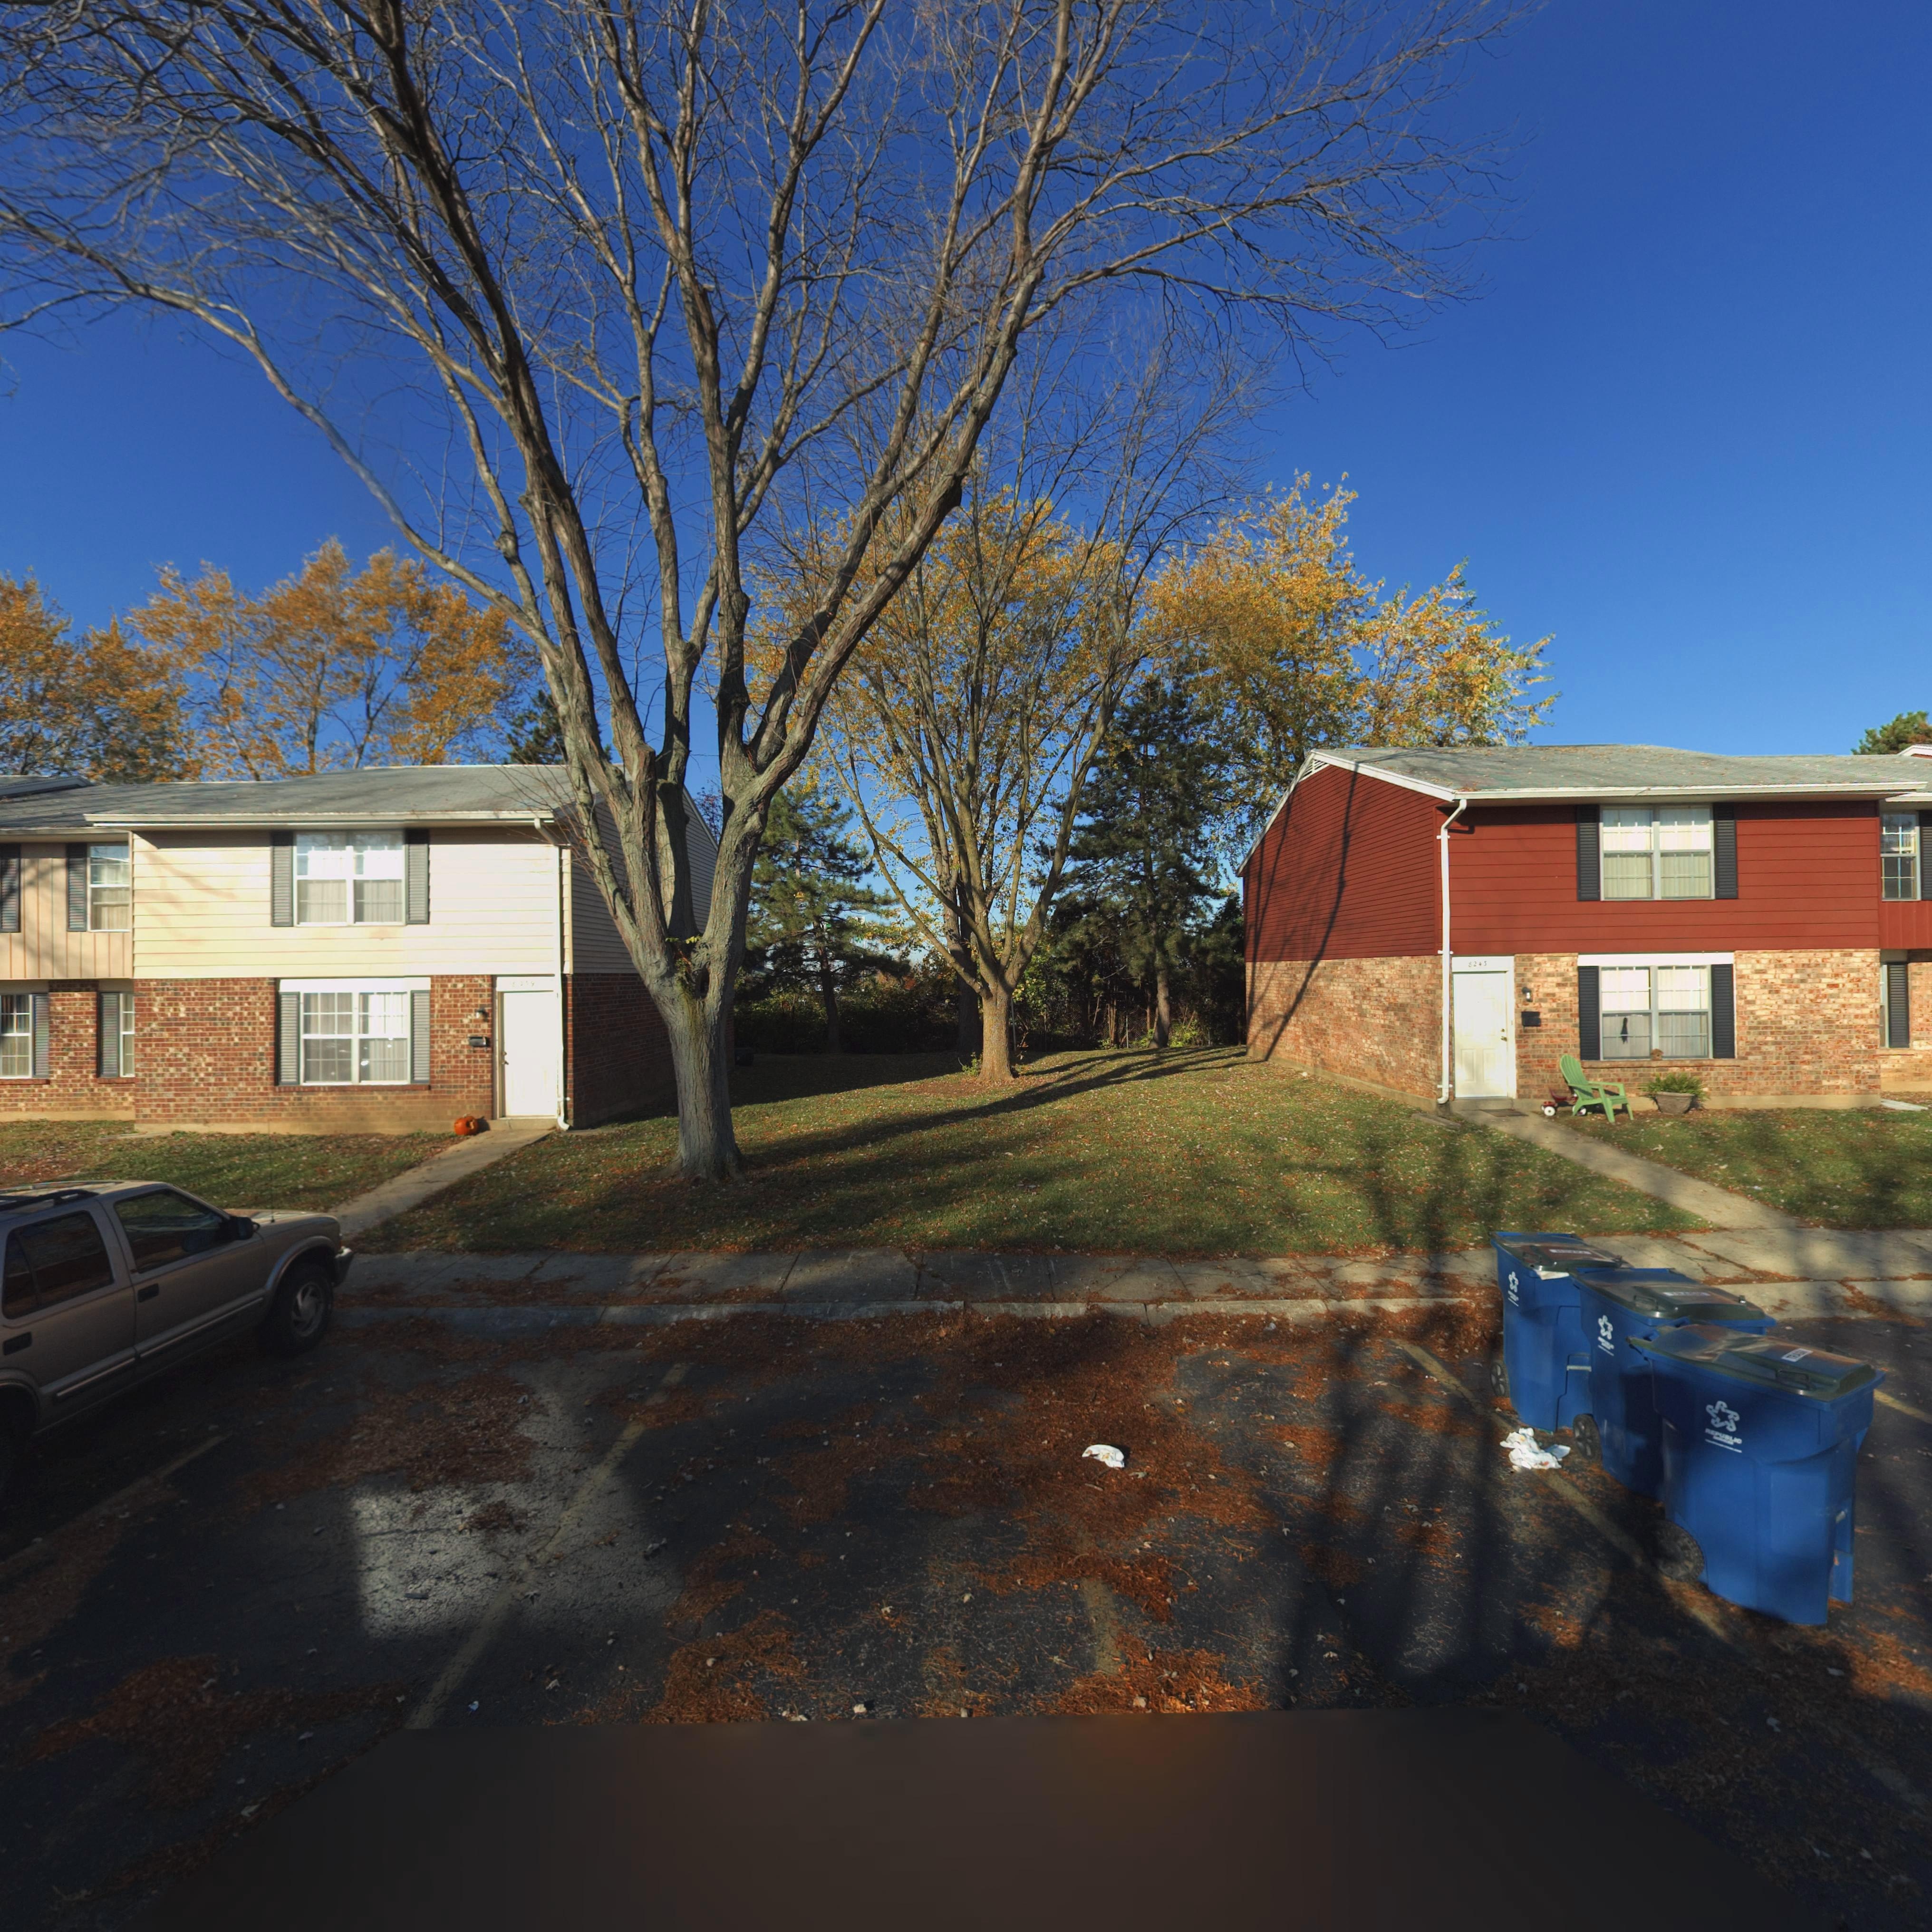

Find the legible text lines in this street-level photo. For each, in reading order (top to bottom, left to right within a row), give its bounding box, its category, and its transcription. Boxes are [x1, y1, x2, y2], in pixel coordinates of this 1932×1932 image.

[1468, 960, 1488, 968] StreetNumber: 8245
[512, 979, 535, 987] StreetNumber: 8**9